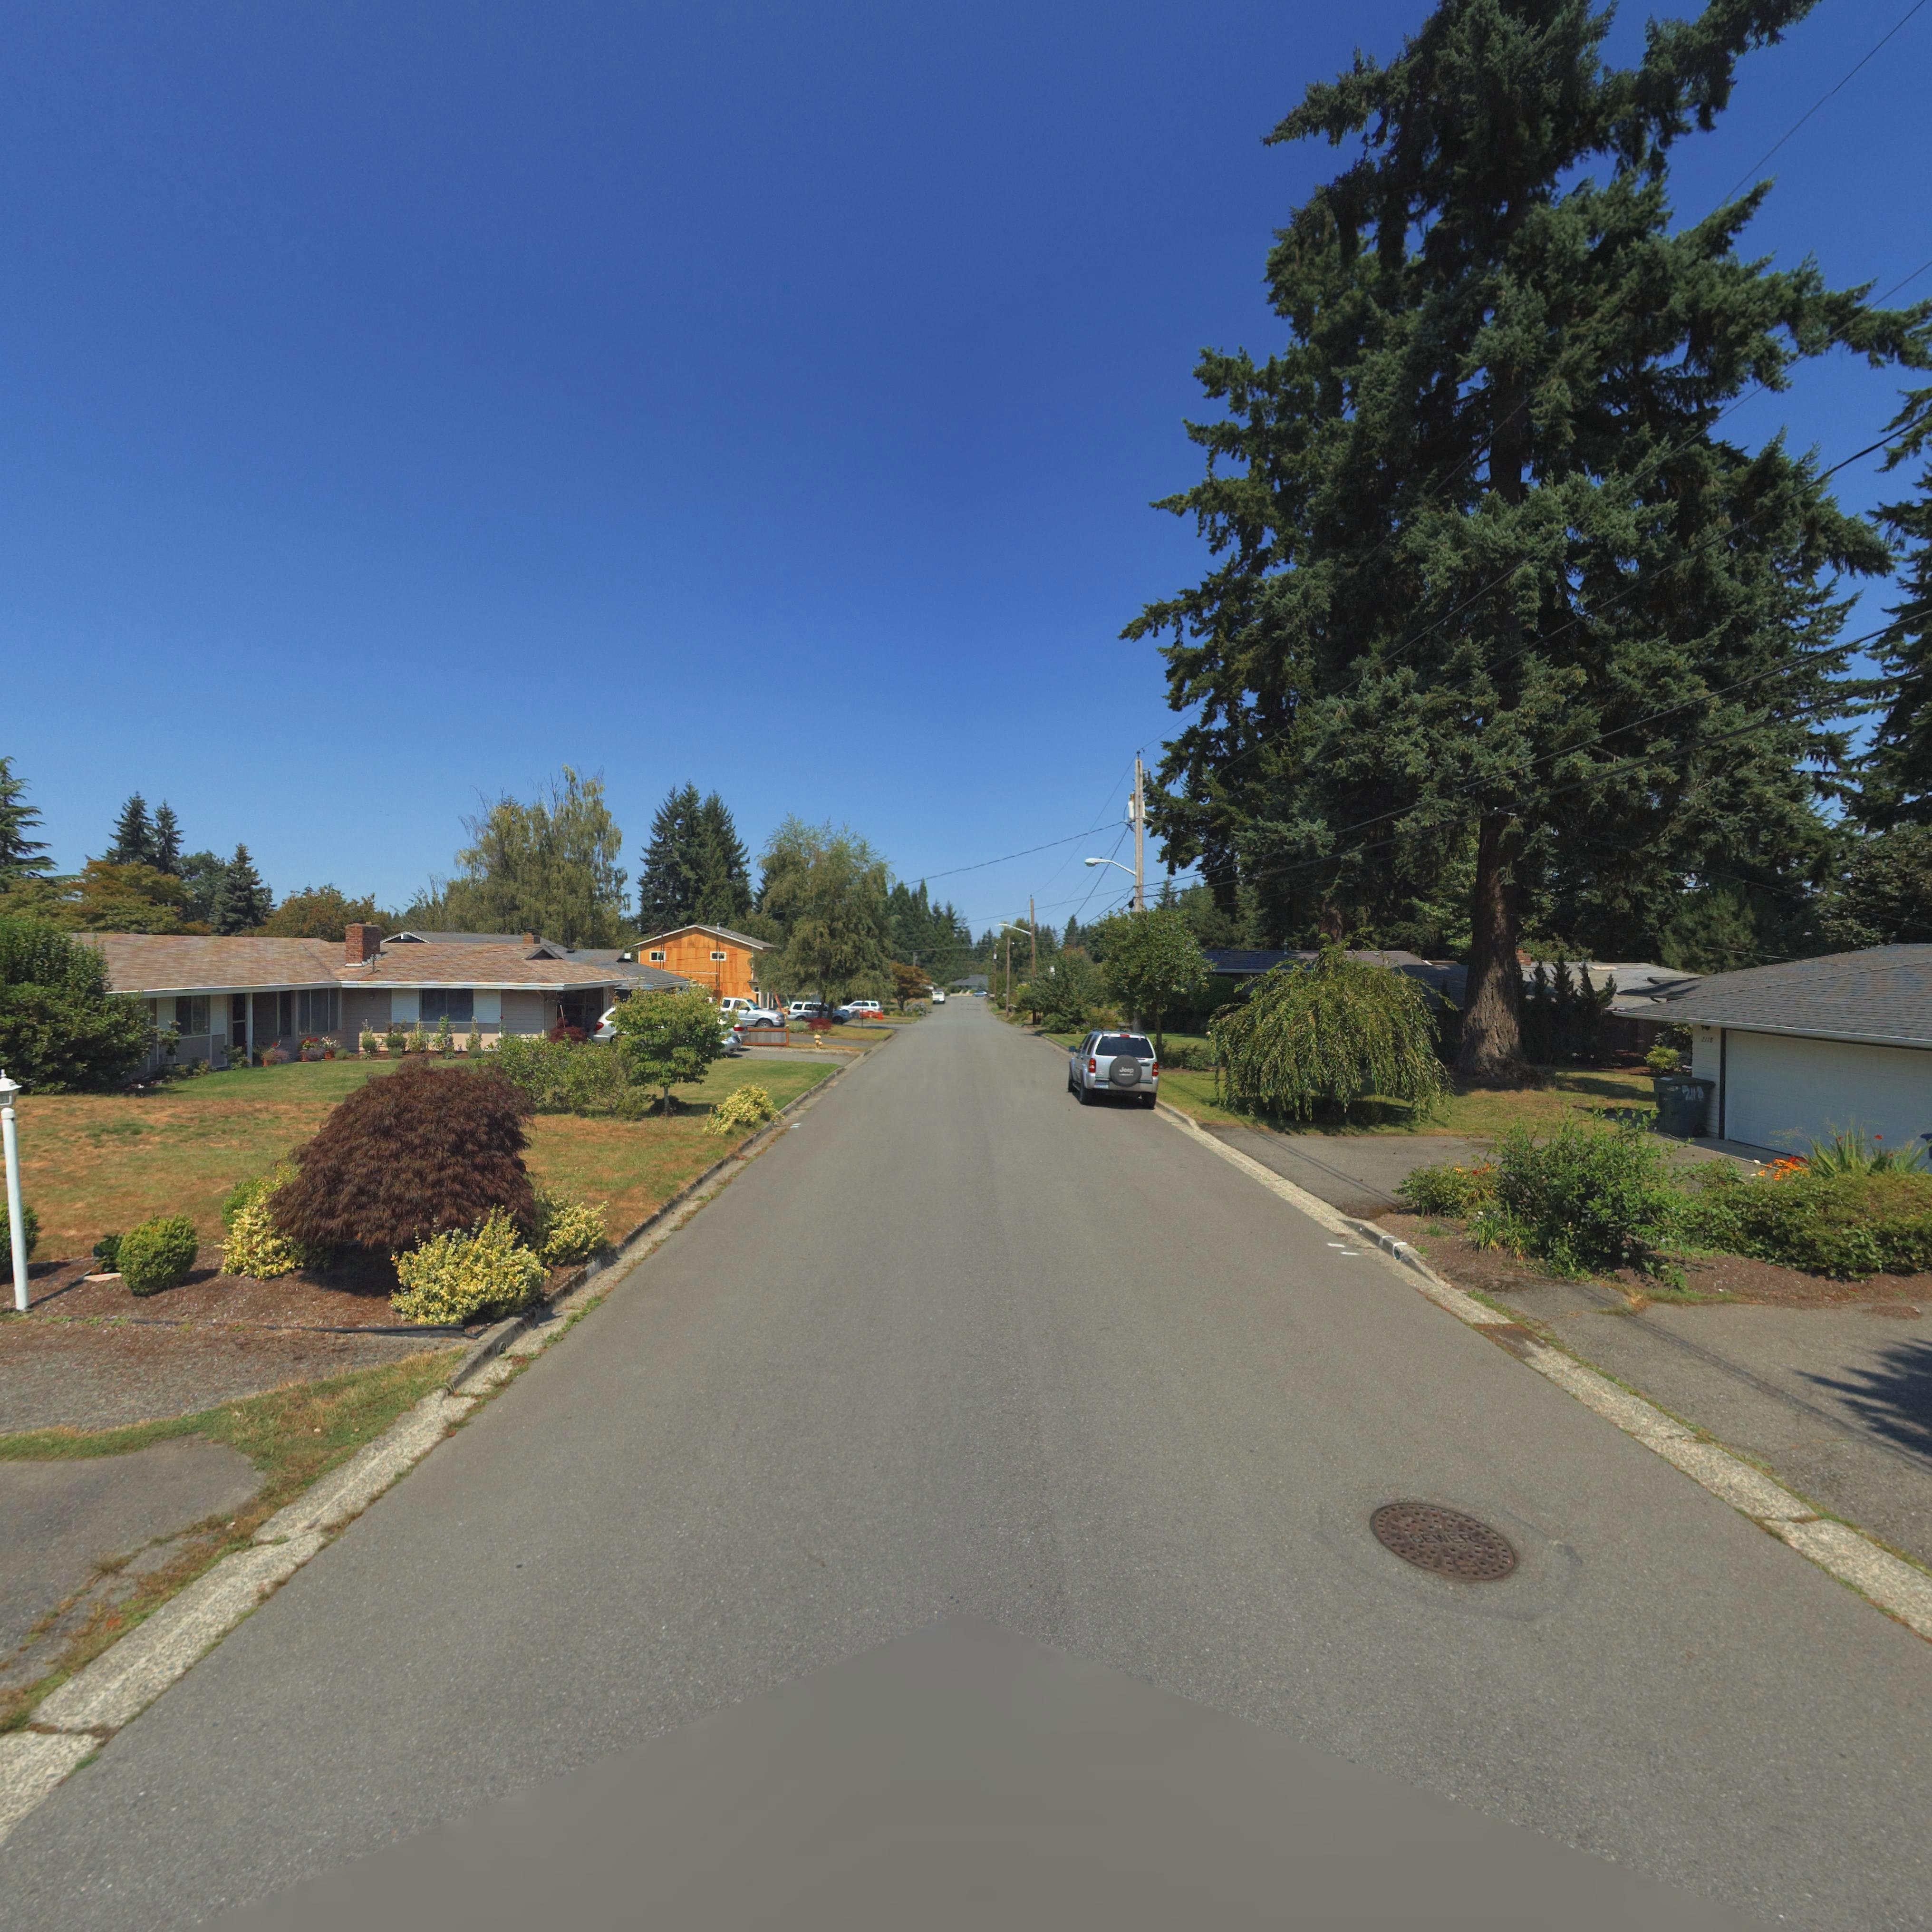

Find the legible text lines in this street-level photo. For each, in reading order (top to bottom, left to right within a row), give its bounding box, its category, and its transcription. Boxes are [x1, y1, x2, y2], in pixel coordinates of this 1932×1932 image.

[1701, 1035, 1714, 1043] StreetNumber: 211*